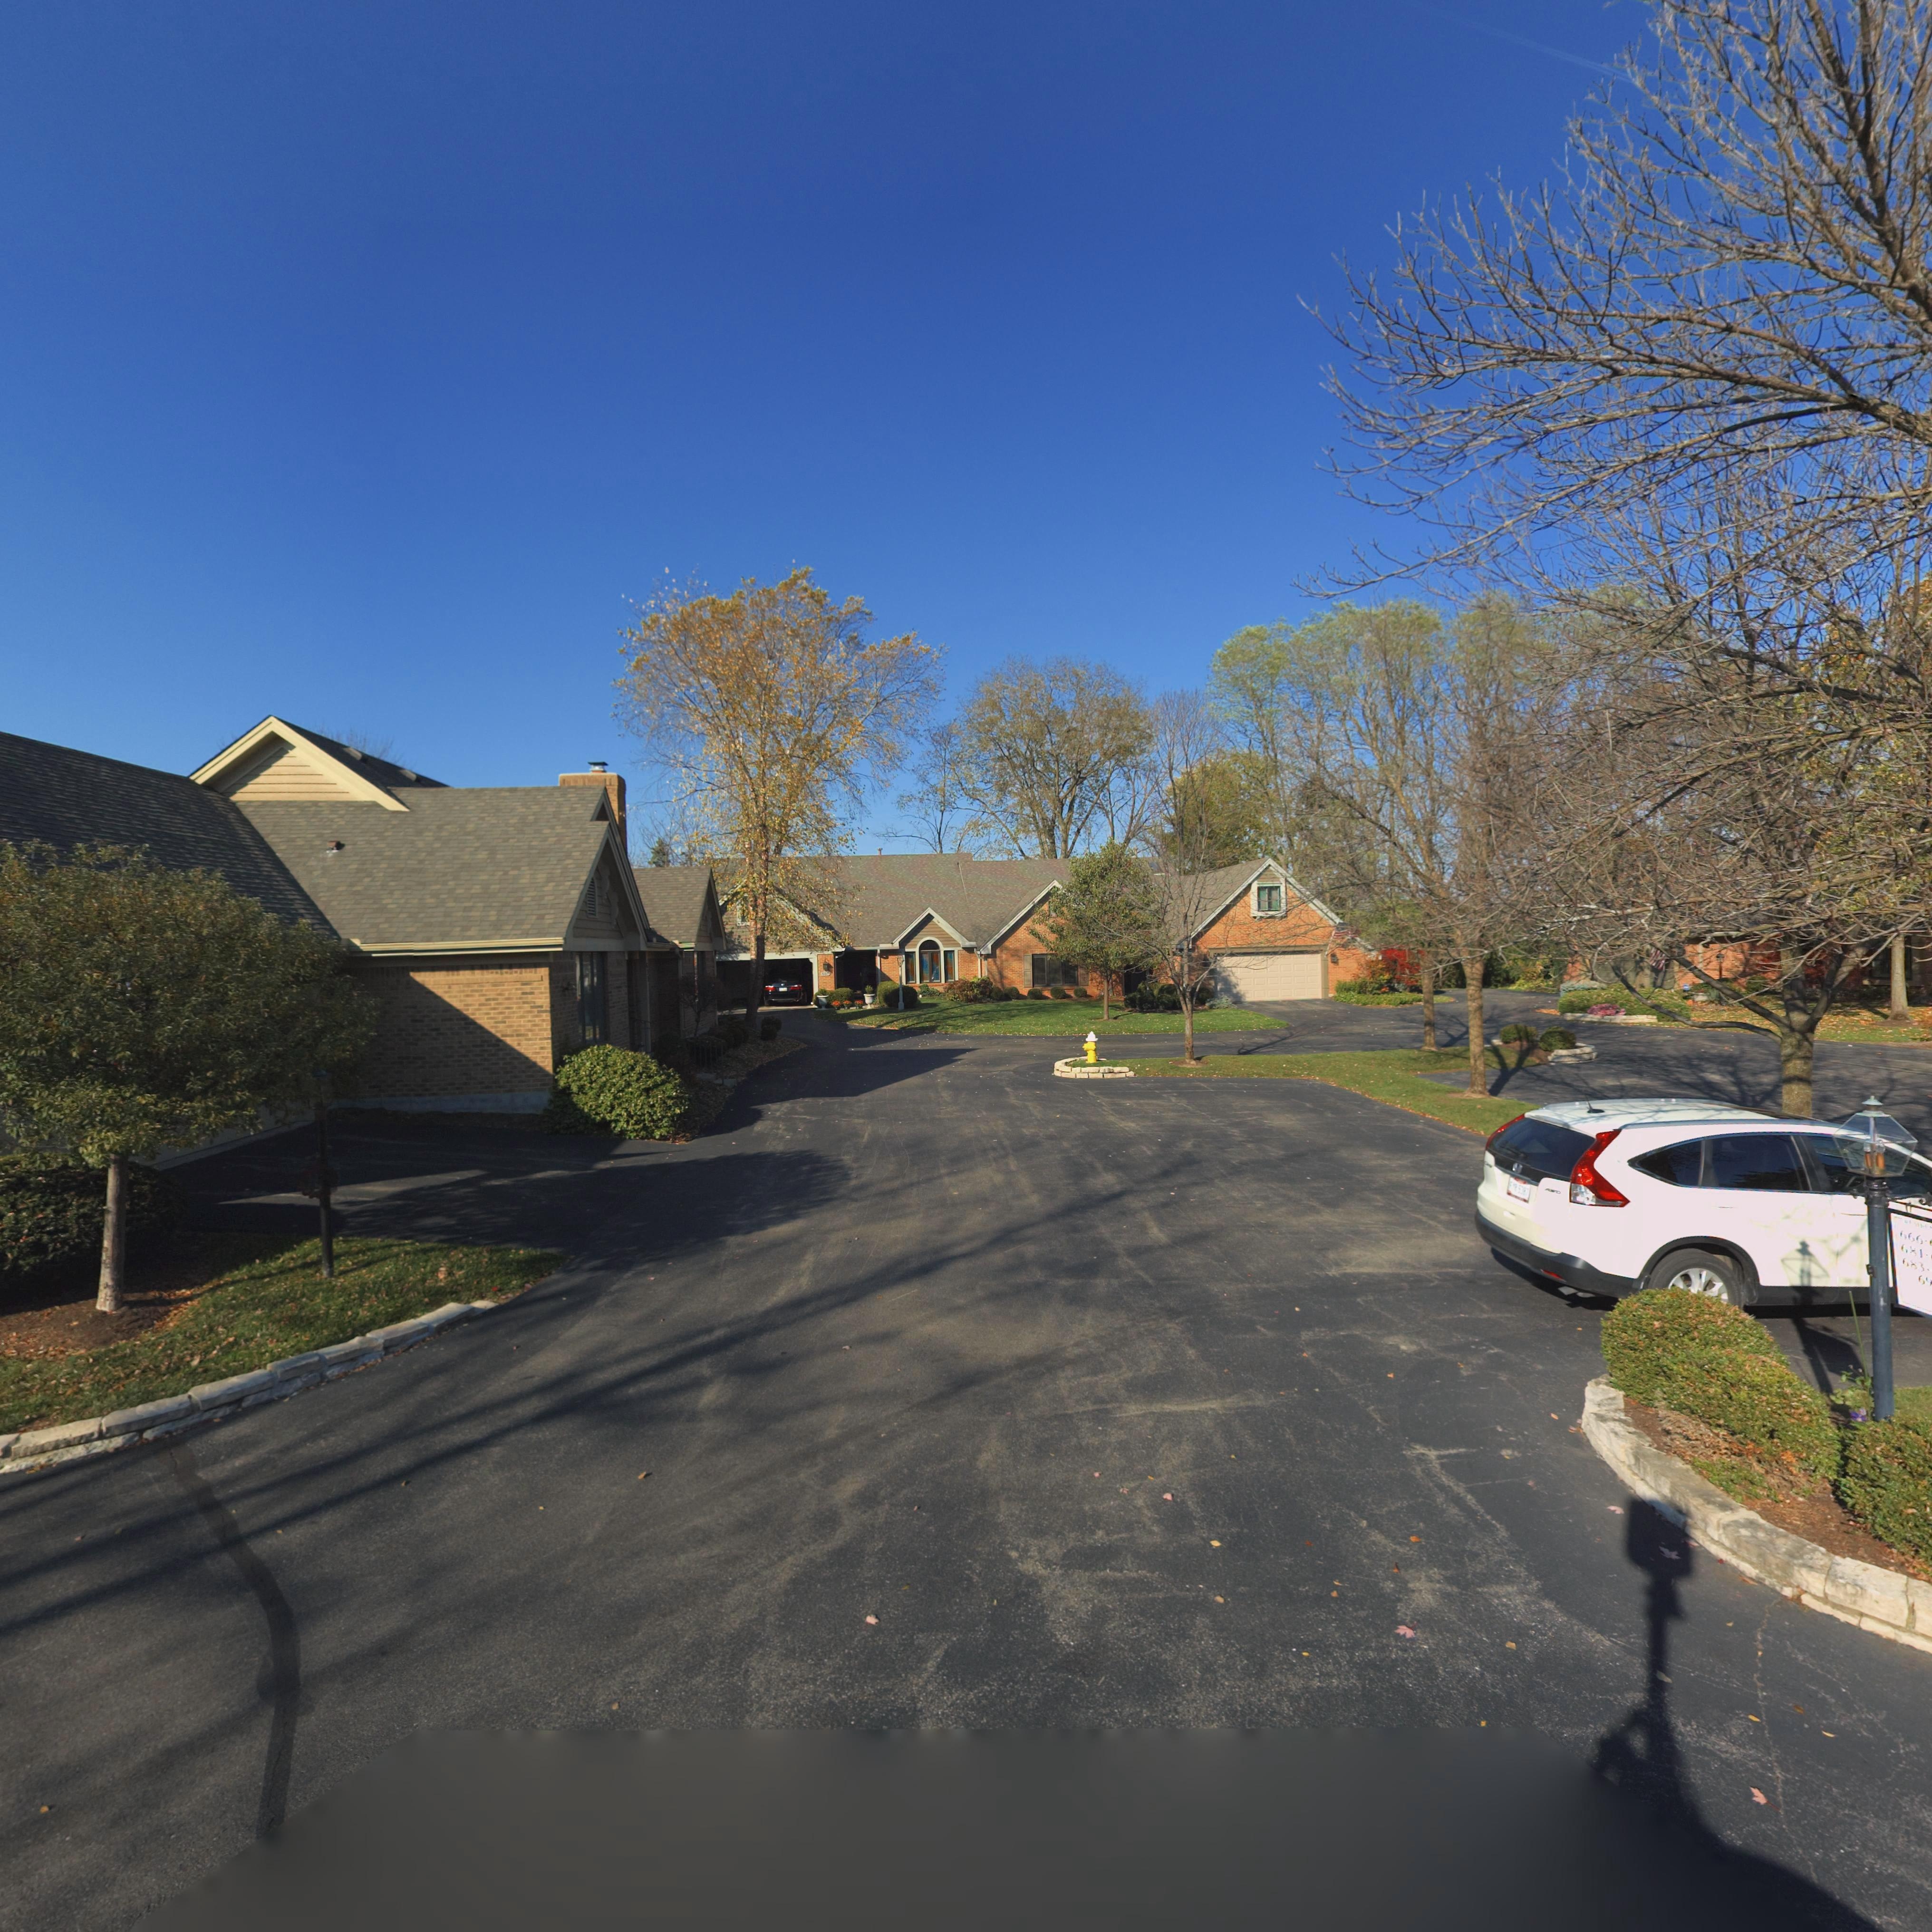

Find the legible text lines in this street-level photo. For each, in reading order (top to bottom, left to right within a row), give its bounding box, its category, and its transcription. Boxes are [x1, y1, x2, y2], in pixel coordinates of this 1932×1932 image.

[1899, 1228, 1925, 1248] StreetNumber: 666
[1899, 1241, 1924, 1261] StreetNumber: 681
[1900, 1256, 1926, 1274] StreetNumber: 683
[1917, 1272, 1927, 1287] StreetNumber: 6